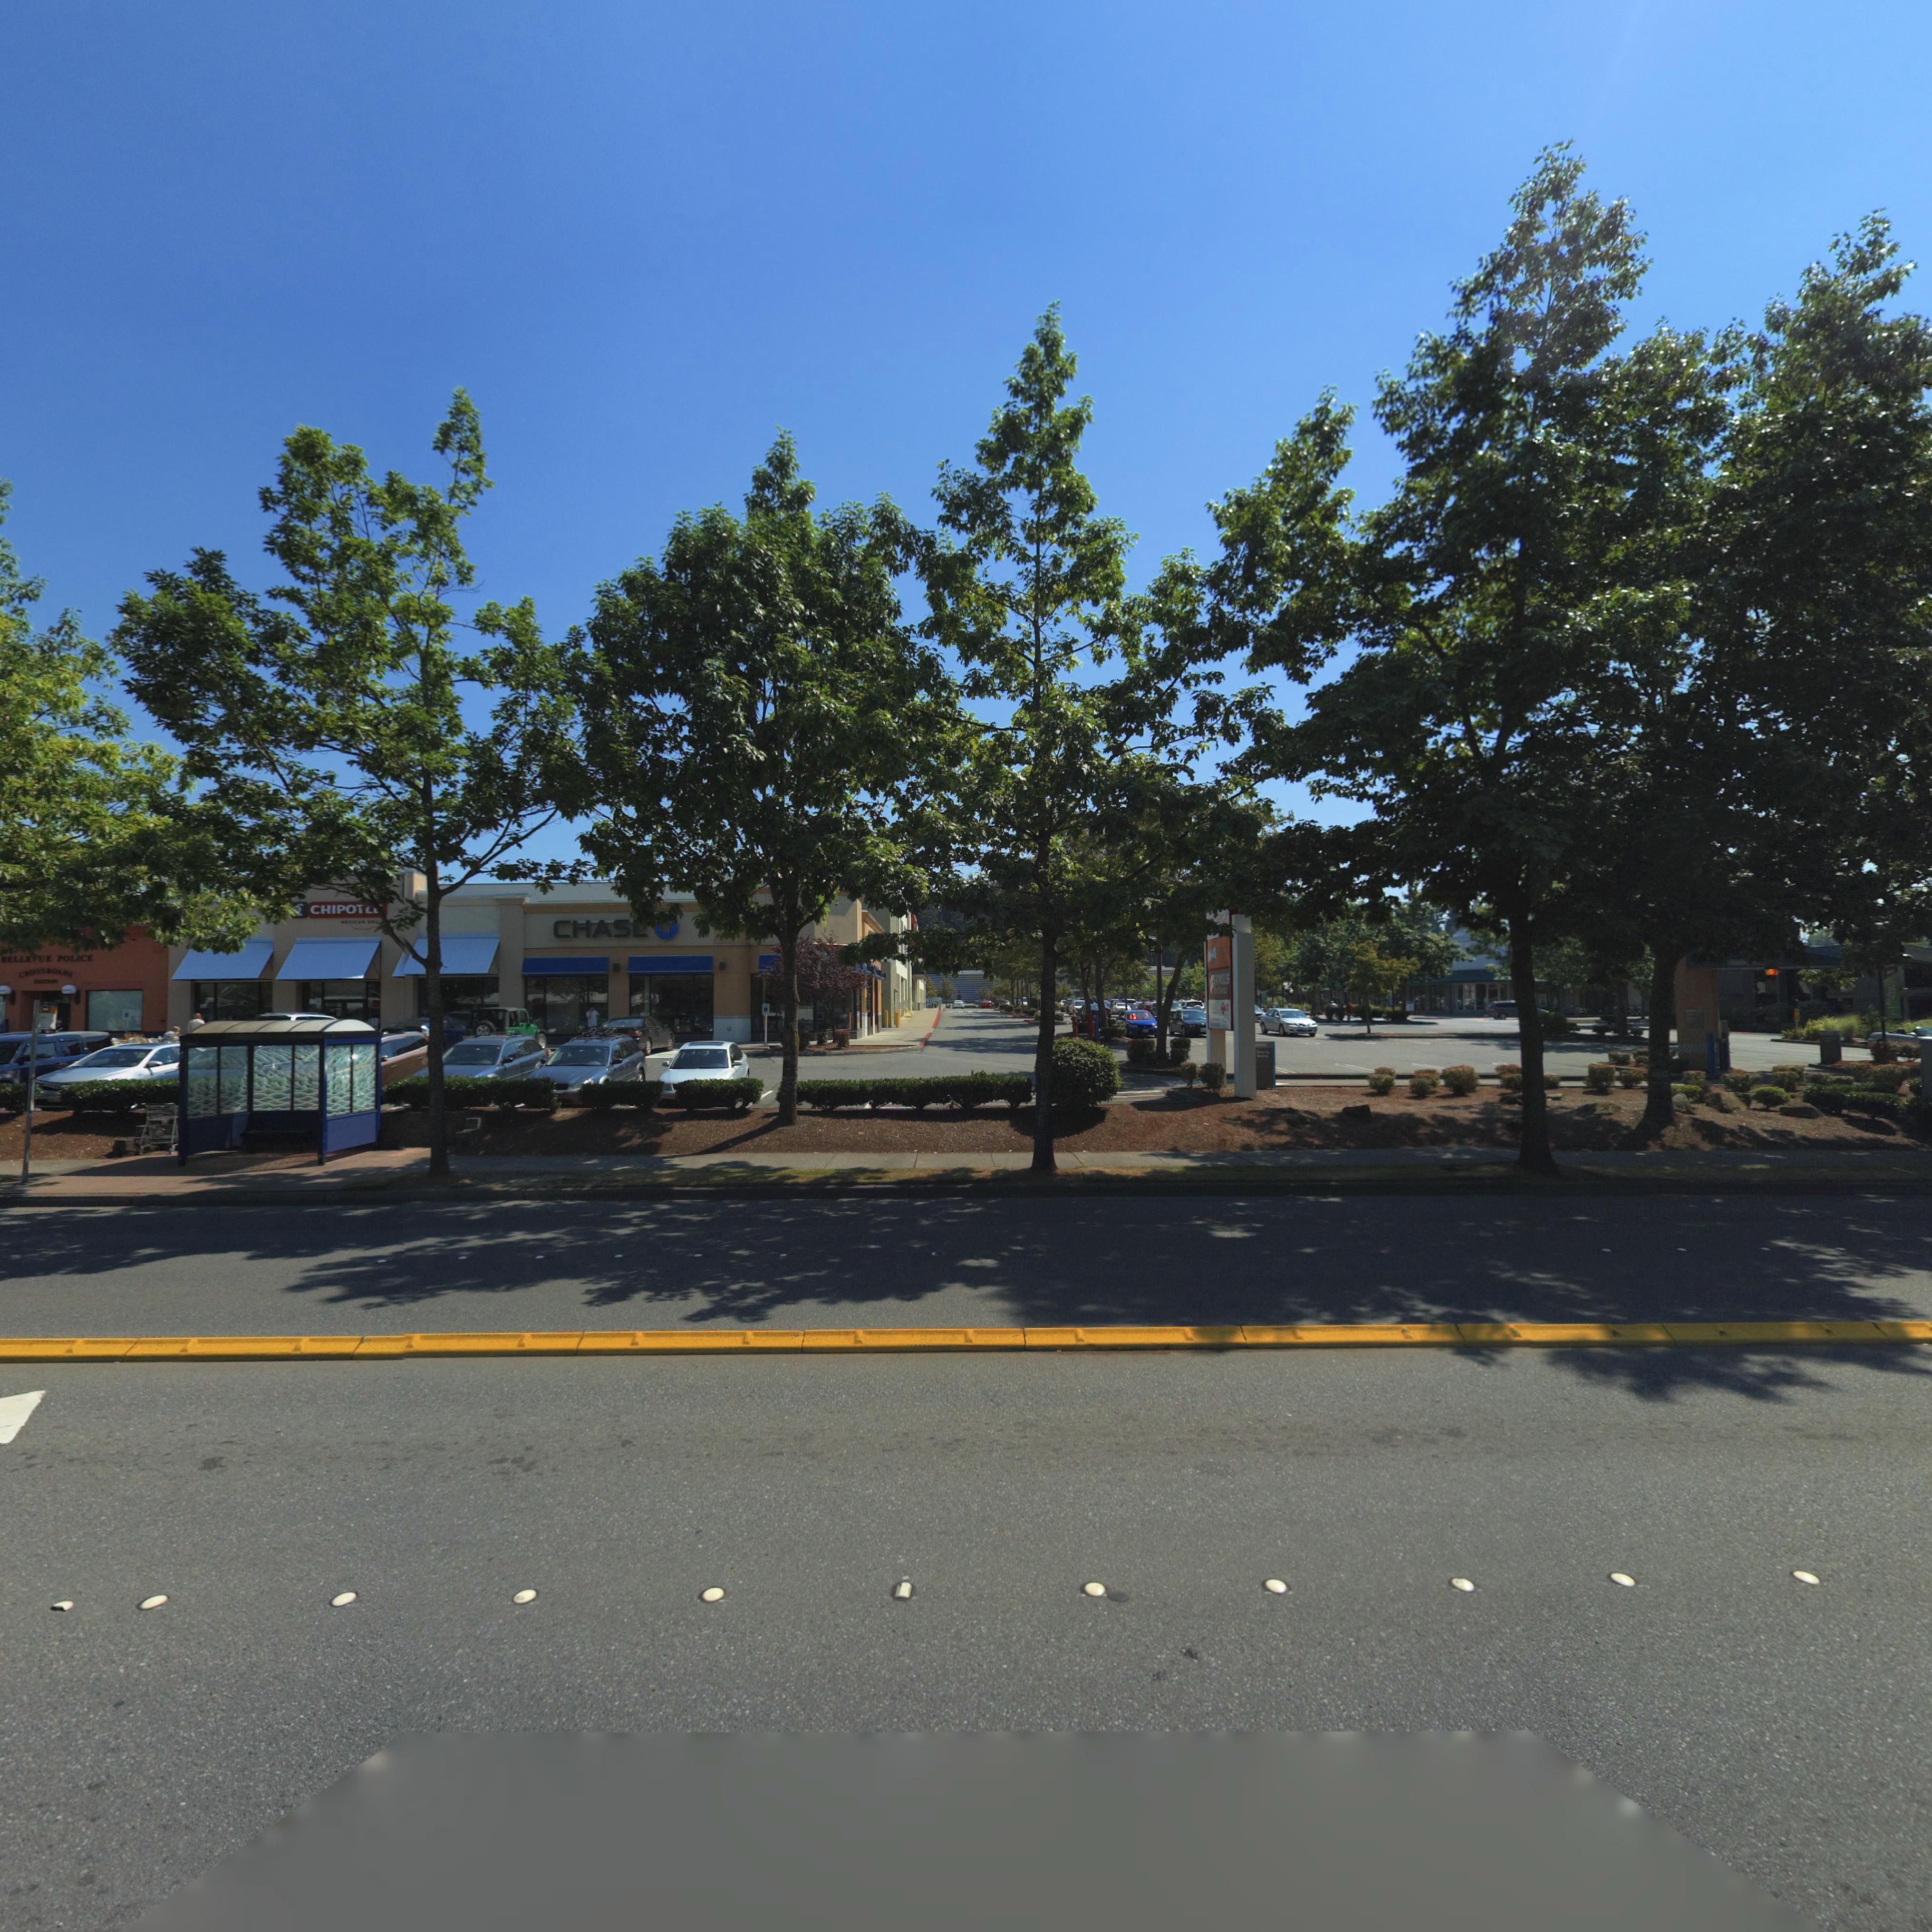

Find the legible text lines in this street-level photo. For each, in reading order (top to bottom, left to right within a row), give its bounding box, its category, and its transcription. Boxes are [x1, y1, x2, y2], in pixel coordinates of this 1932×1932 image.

[311, 904, 364, 914] BusinessName: CHIPO*
[554, 919, 630, 937] BusinessName: CHAS